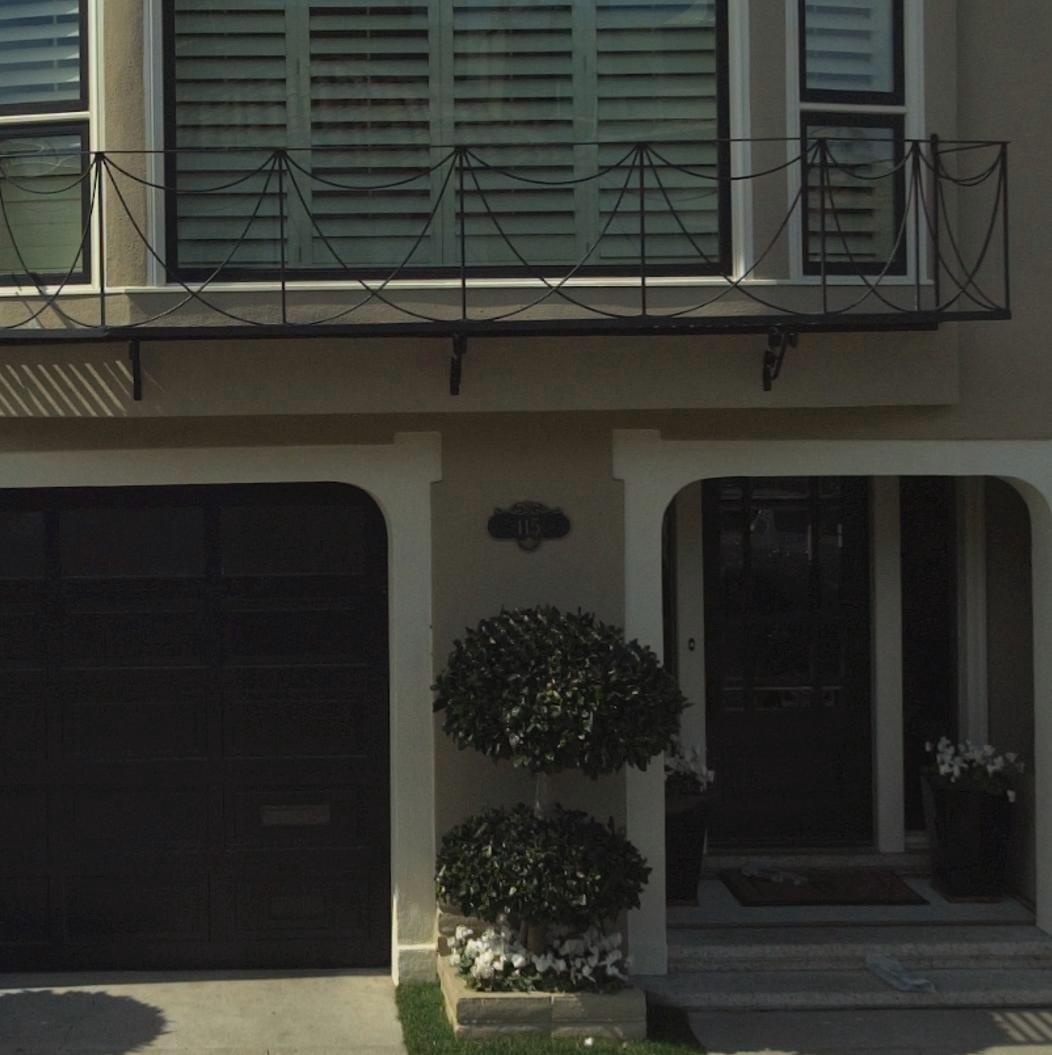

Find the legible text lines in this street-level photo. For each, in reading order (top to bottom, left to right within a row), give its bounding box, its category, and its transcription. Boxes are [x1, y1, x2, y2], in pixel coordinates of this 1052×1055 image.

[515, 514, 543, 538] StreetNumber: 115